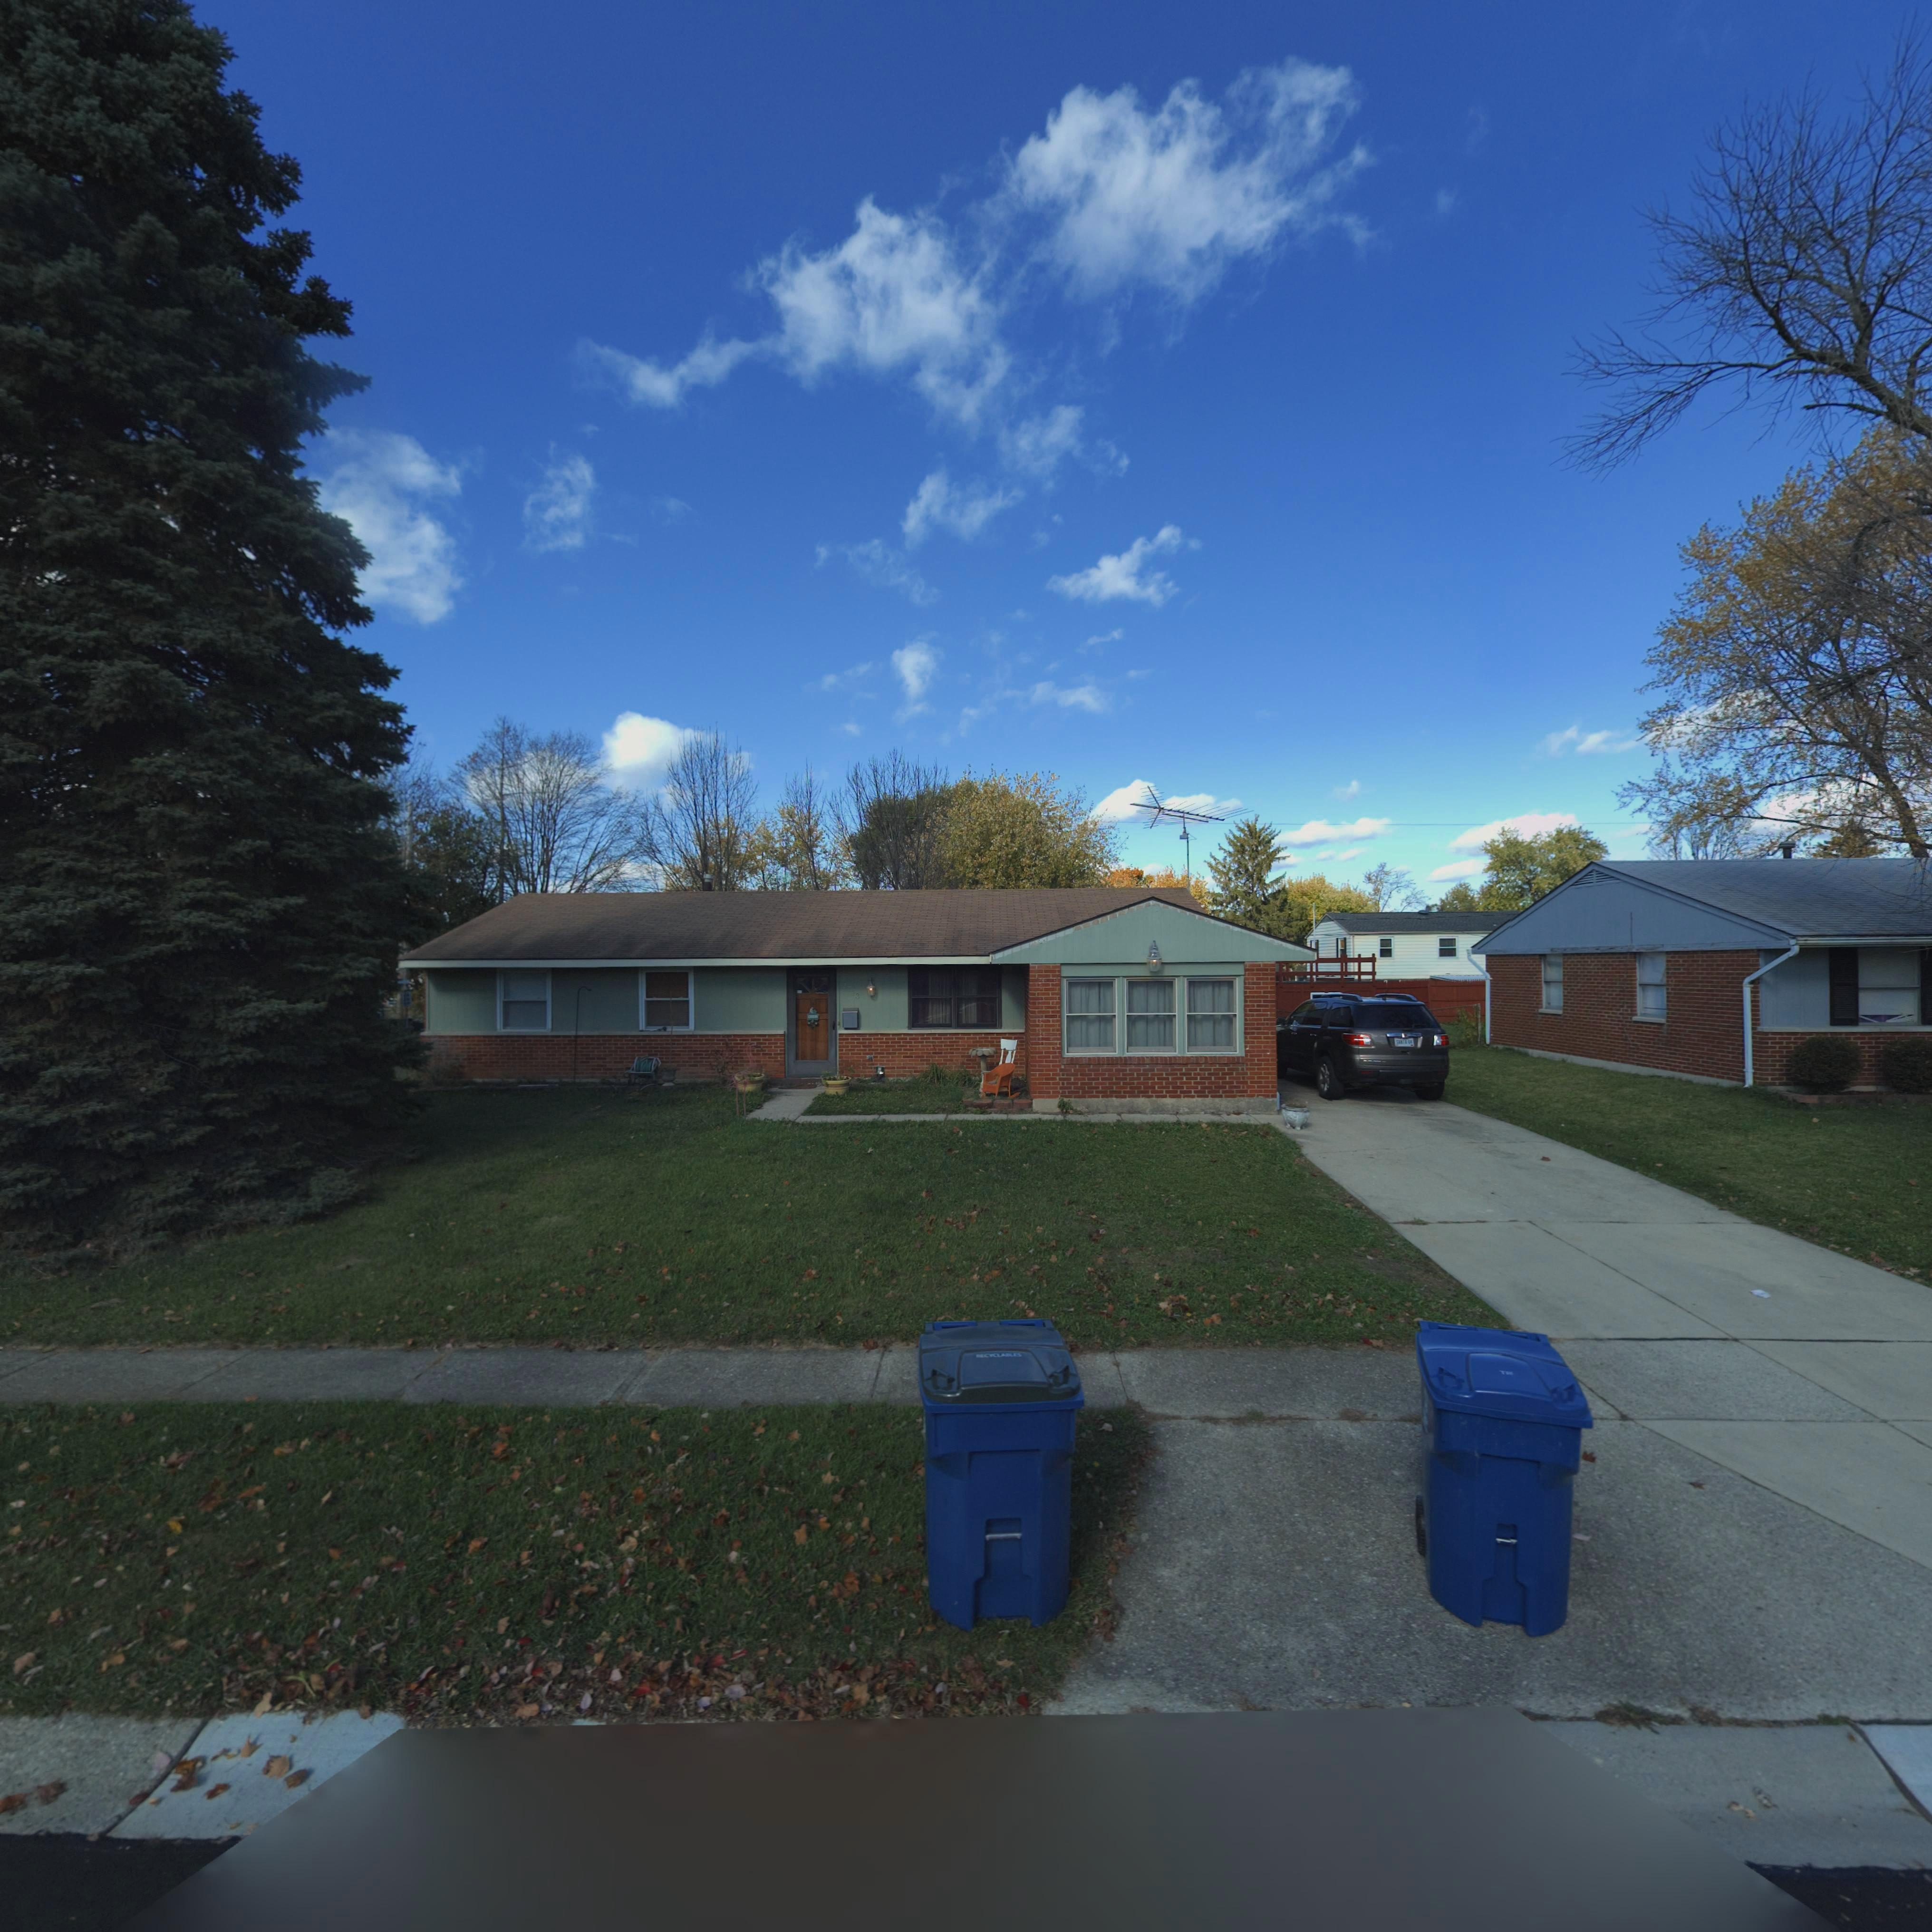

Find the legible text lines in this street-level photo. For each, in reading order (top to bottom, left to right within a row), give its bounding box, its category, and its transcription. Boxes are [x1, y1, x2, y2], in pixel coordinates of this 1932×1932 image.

[841, 983, 860, 1001] StreetNumber: 7*13